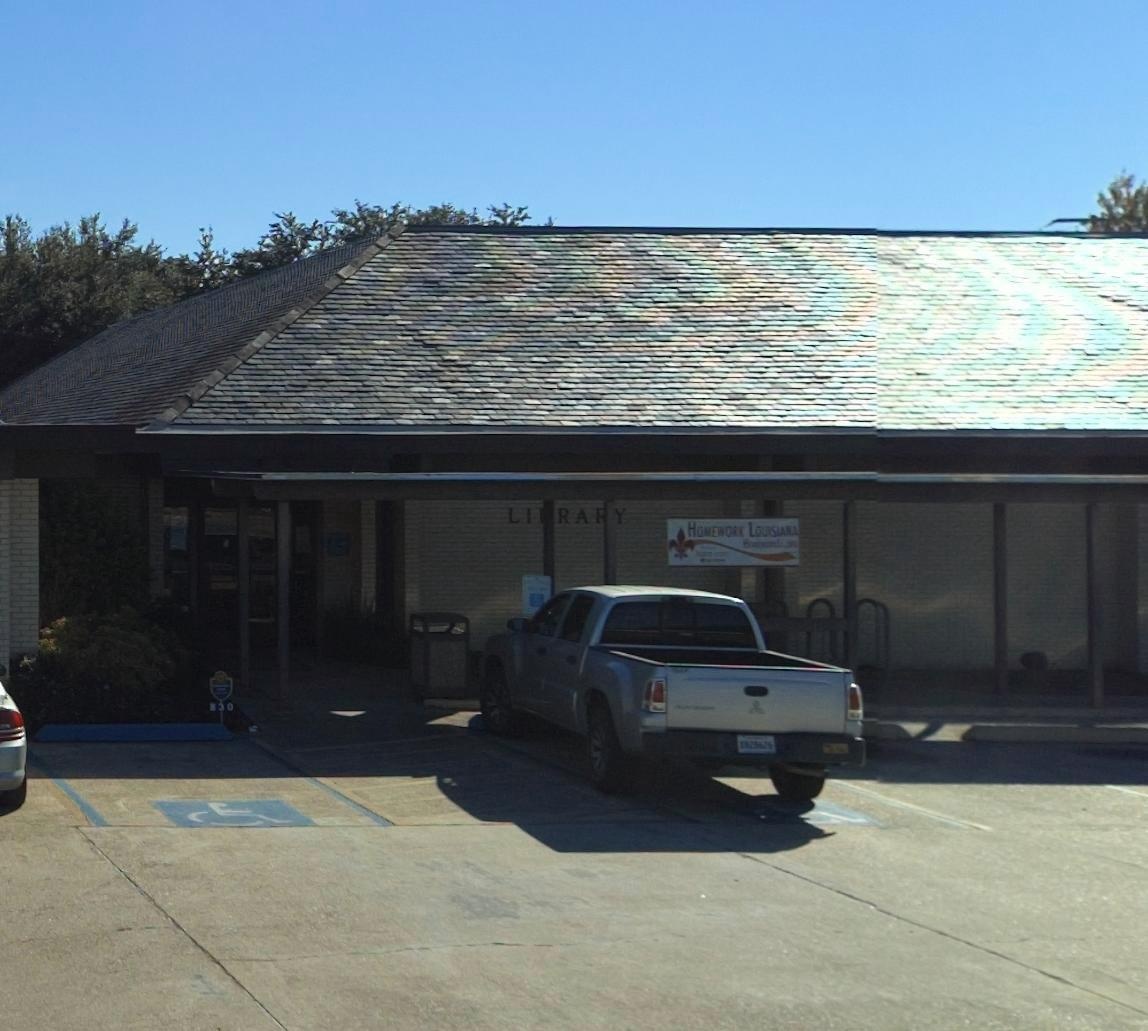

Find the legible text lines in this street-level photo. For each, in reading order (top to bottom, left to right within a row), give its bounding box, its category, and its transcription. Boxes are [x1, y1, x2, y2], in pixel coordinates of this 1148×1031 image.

[505, 506, 628, 525] None: LI*RA*Y
[687, 520, 799, 539] None: HOMEWORK LOUISIANA